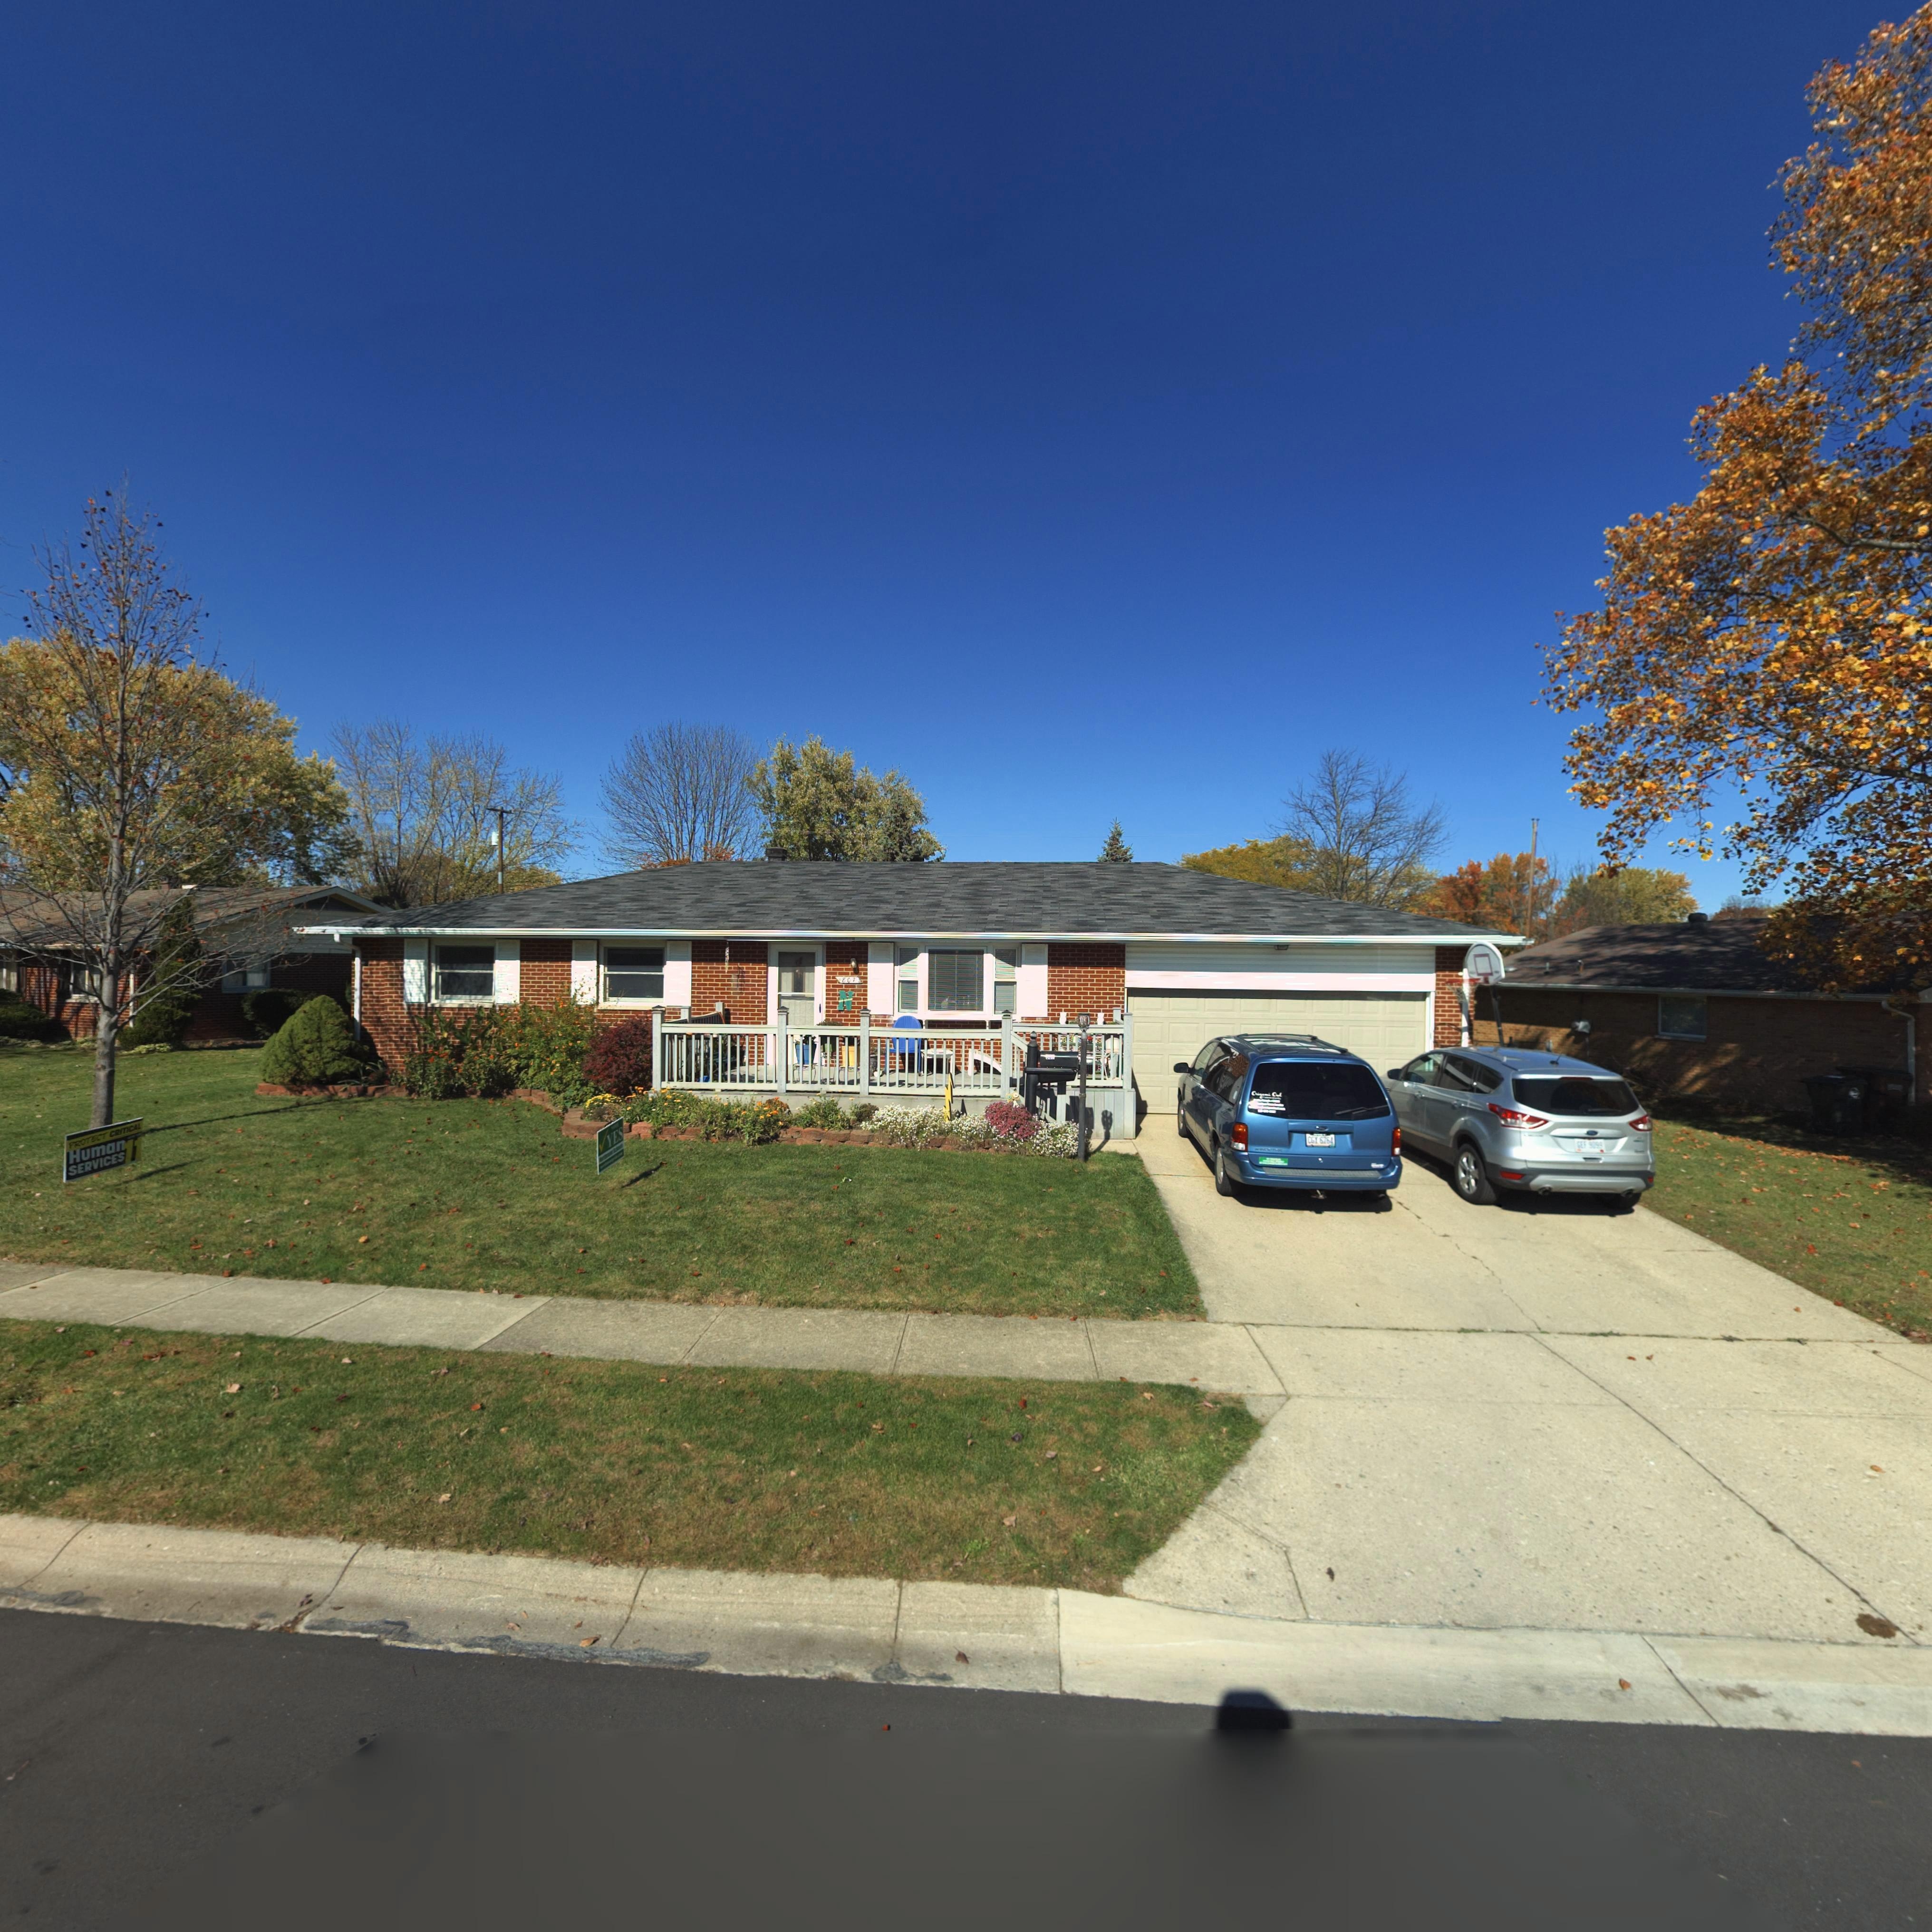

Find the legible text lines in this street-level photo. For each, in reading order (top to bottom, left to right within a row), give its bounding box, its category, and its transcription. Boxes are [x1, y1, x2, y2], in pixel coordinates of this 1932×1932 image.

[841, 977, 856, 983] StreetNumber: 807